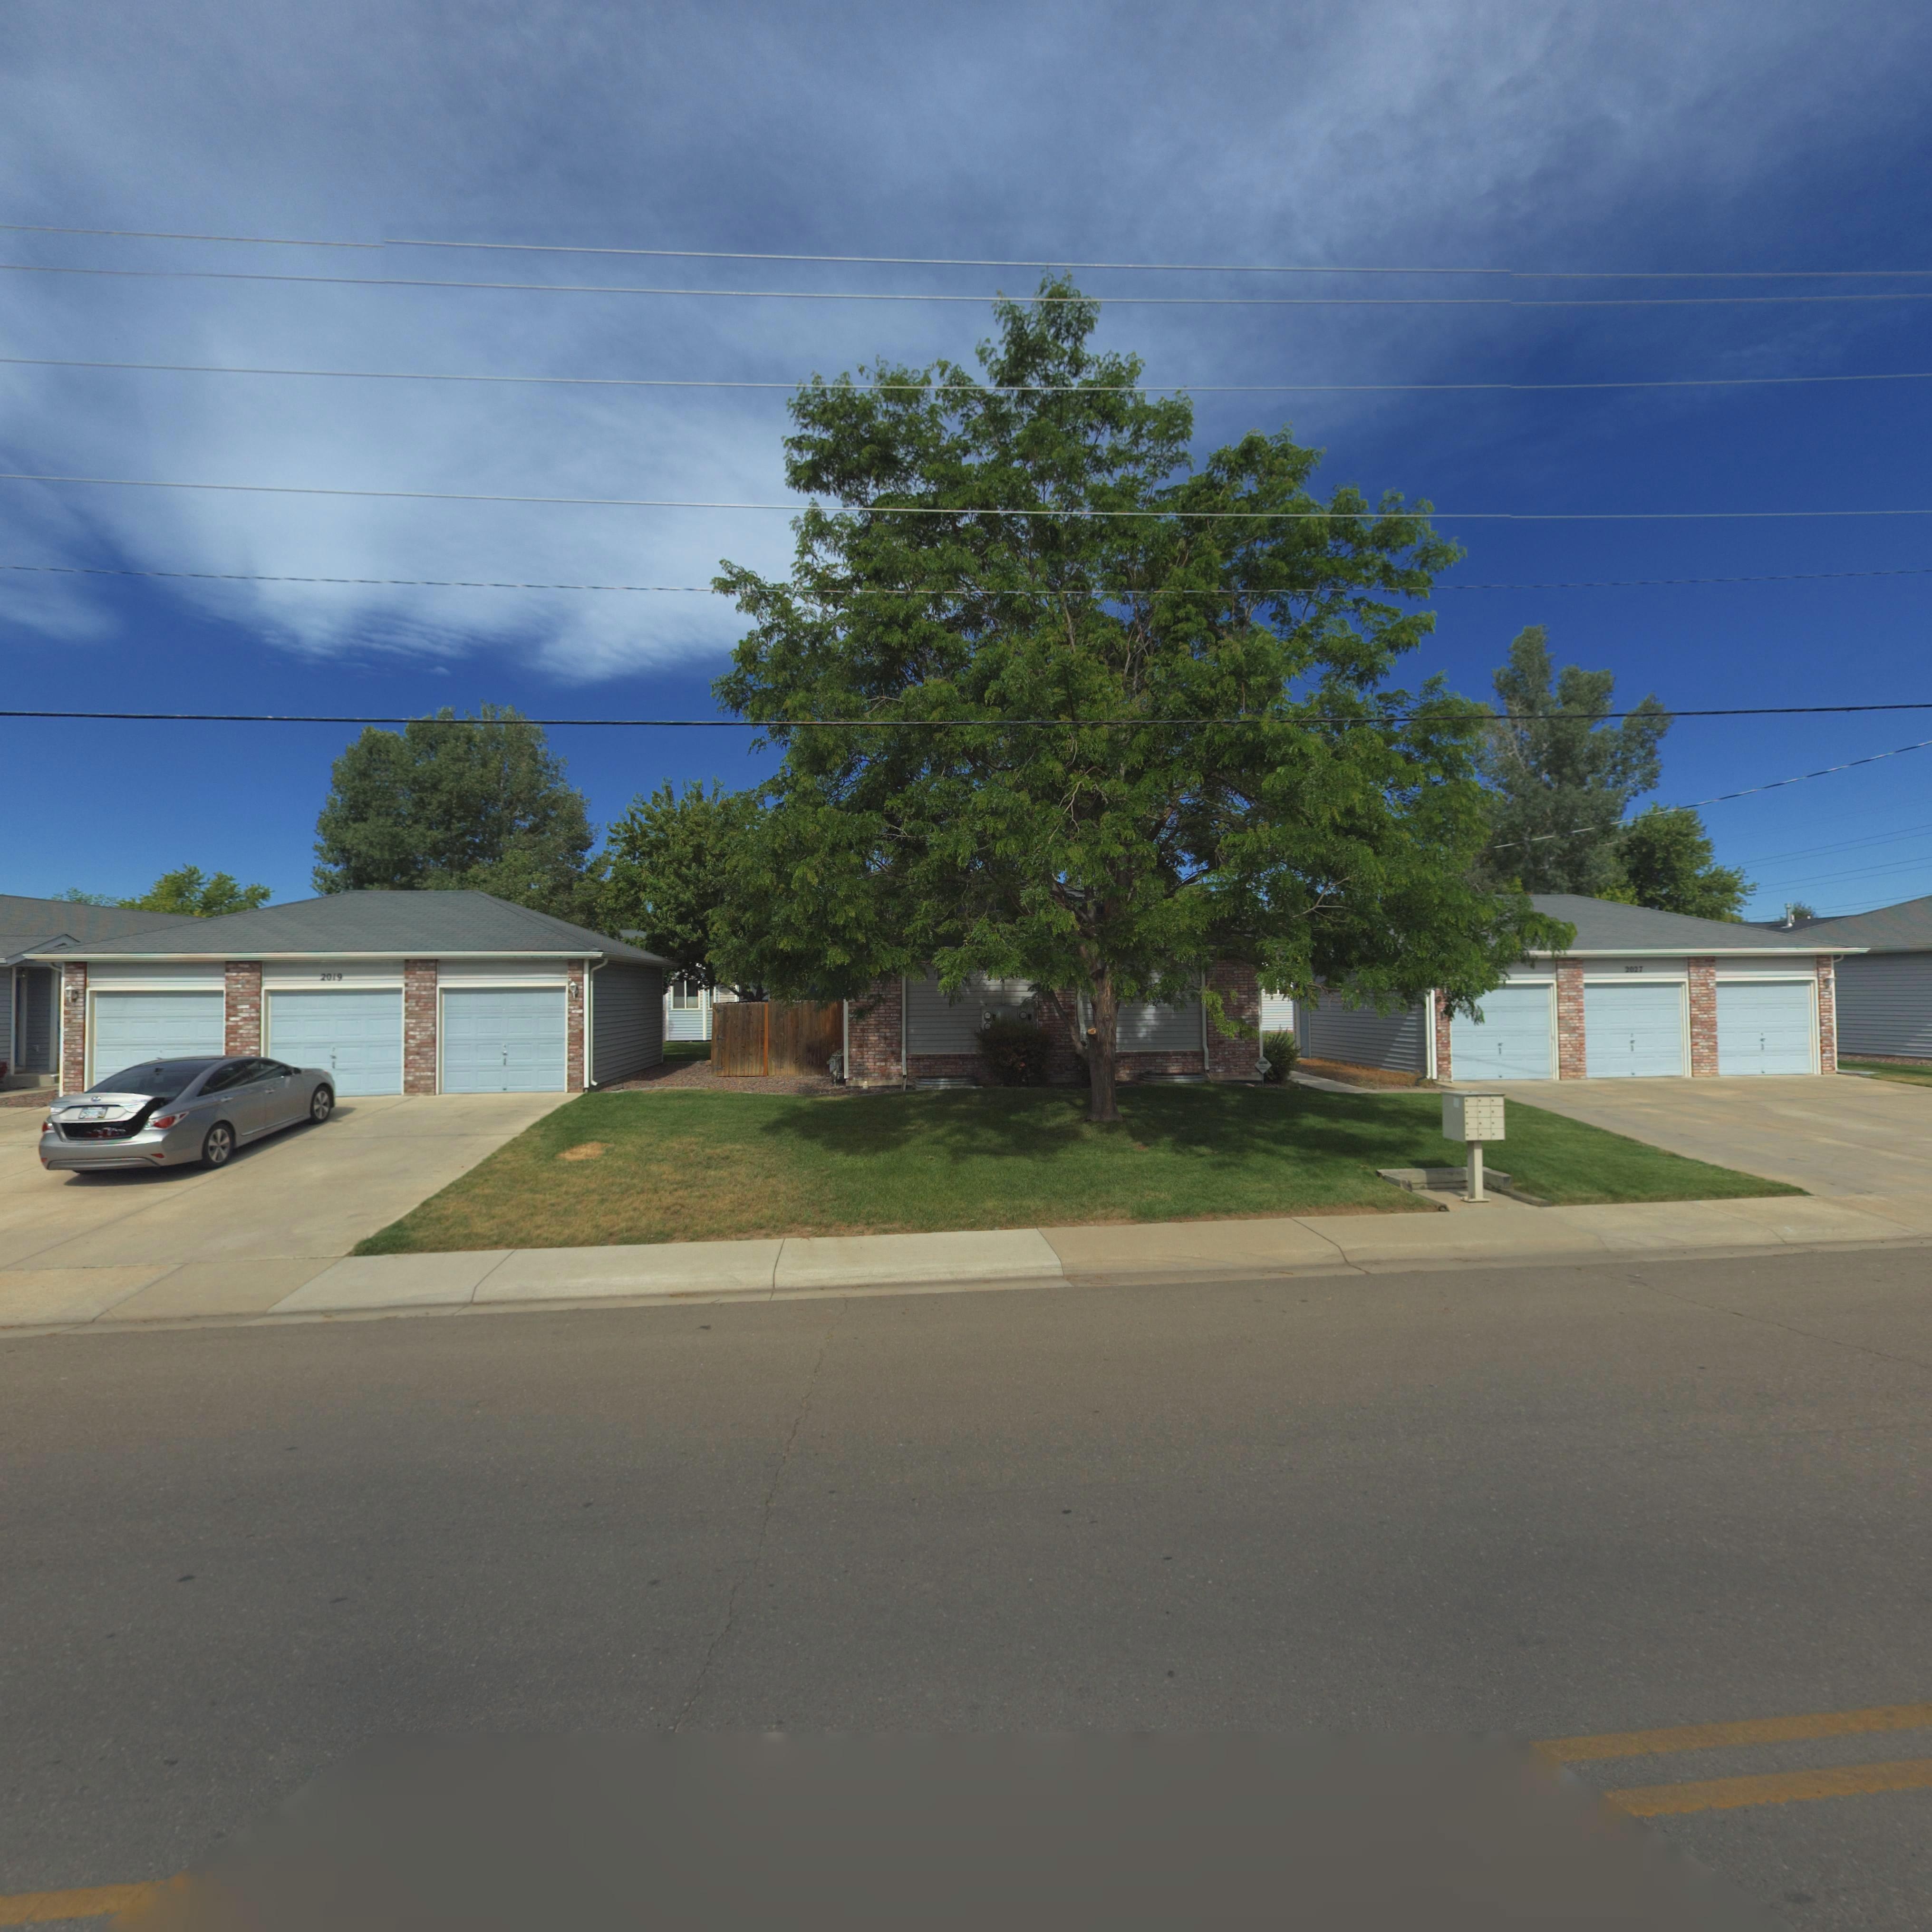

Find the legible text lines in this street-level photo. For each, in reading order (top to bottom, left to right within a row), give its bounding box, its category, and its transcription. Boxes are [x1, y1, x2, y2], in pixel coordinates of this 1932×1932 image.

[1624, 966, 1643, 973] StreetNumber: 2027
[319, 972, 342, 982] StreetNumber: 2019